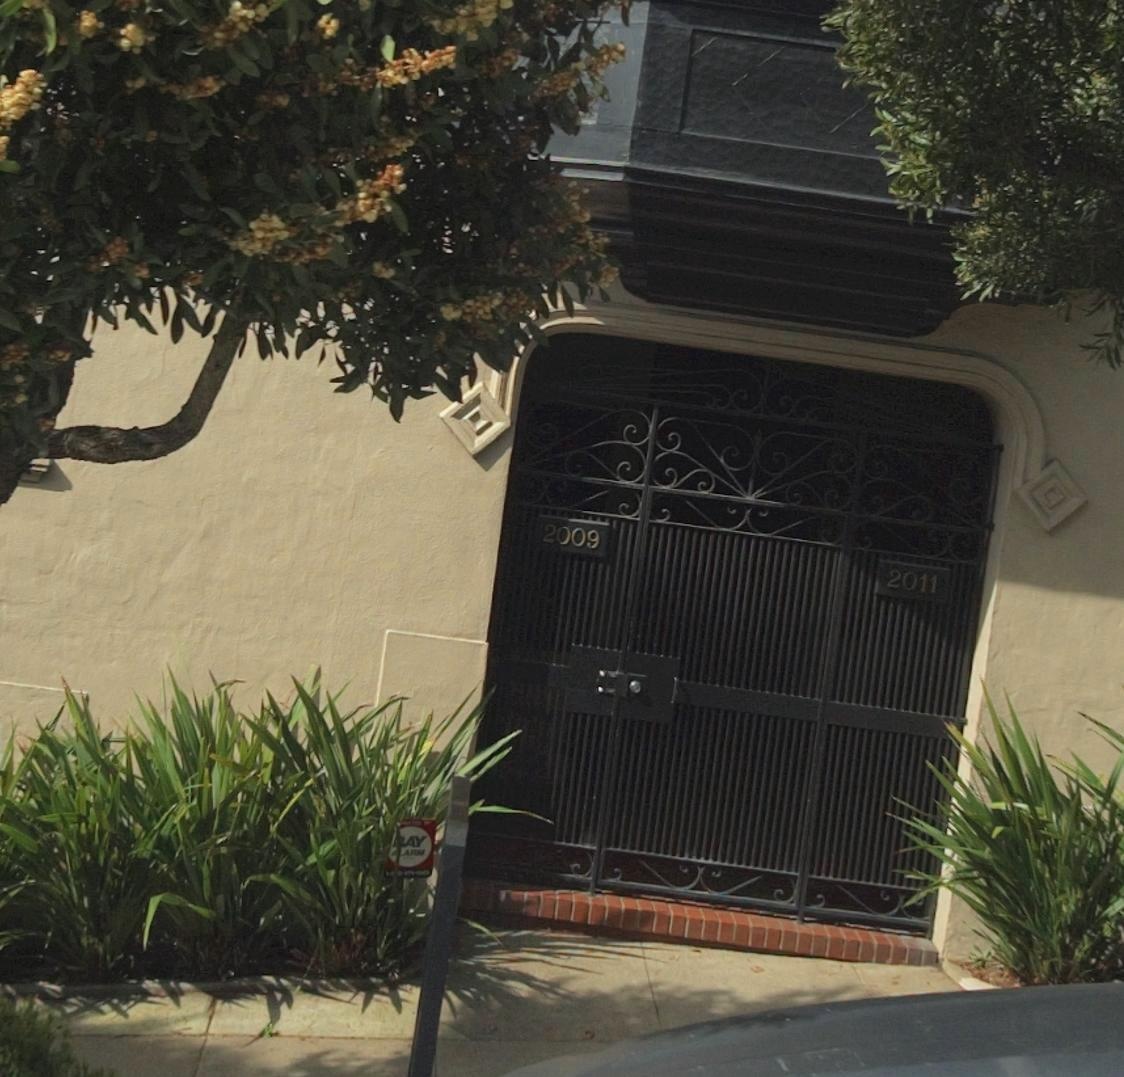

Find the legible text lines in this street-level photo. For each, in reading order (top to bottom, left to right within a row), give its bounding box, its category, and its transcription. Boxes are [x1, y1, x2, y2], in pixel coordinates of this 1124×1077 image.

[540, 520, 601, 552] StreetNumber: 2009
[884, 566, 941, 597] StreetNumber: 2011
[398, 847, 428, 859] None: ARM
[401, 833, 430, 849] None: AY